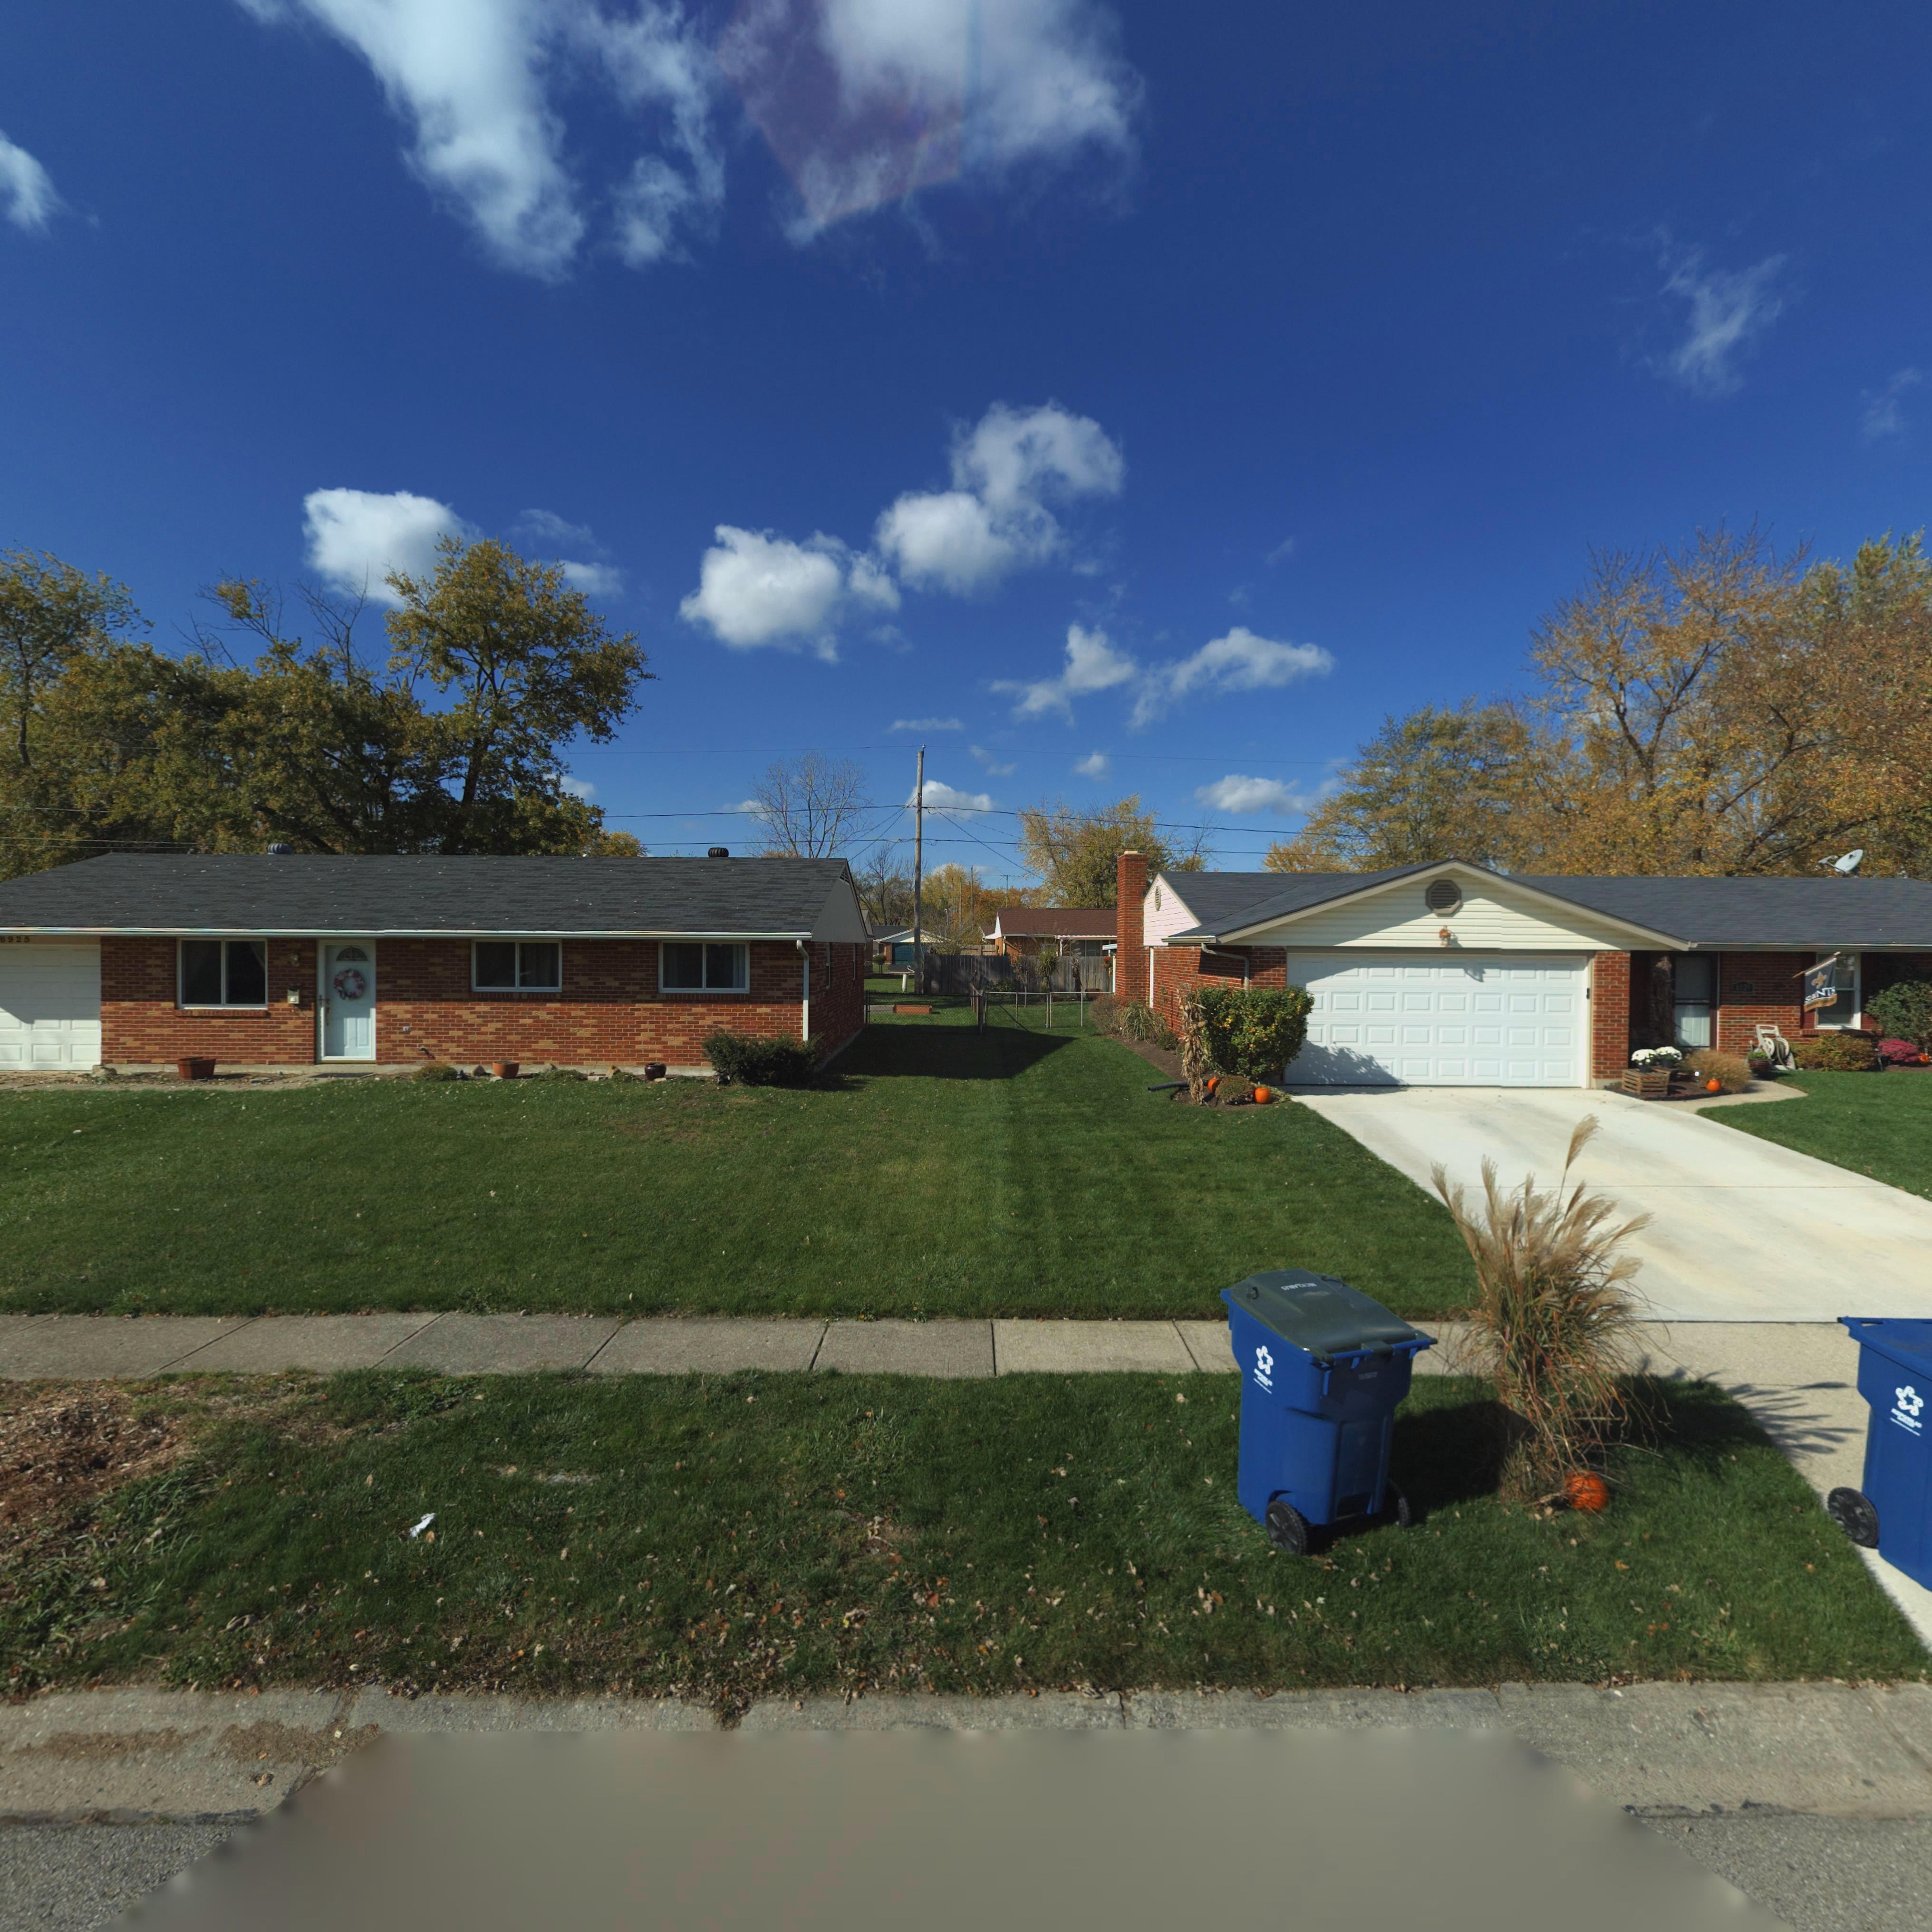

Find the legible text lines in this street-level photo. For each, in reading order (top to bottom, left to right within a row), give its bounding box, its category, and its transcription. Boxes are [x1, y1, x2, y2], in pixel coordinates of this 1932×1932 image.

[0, 935, 31, 945] StreetNumber: 6925